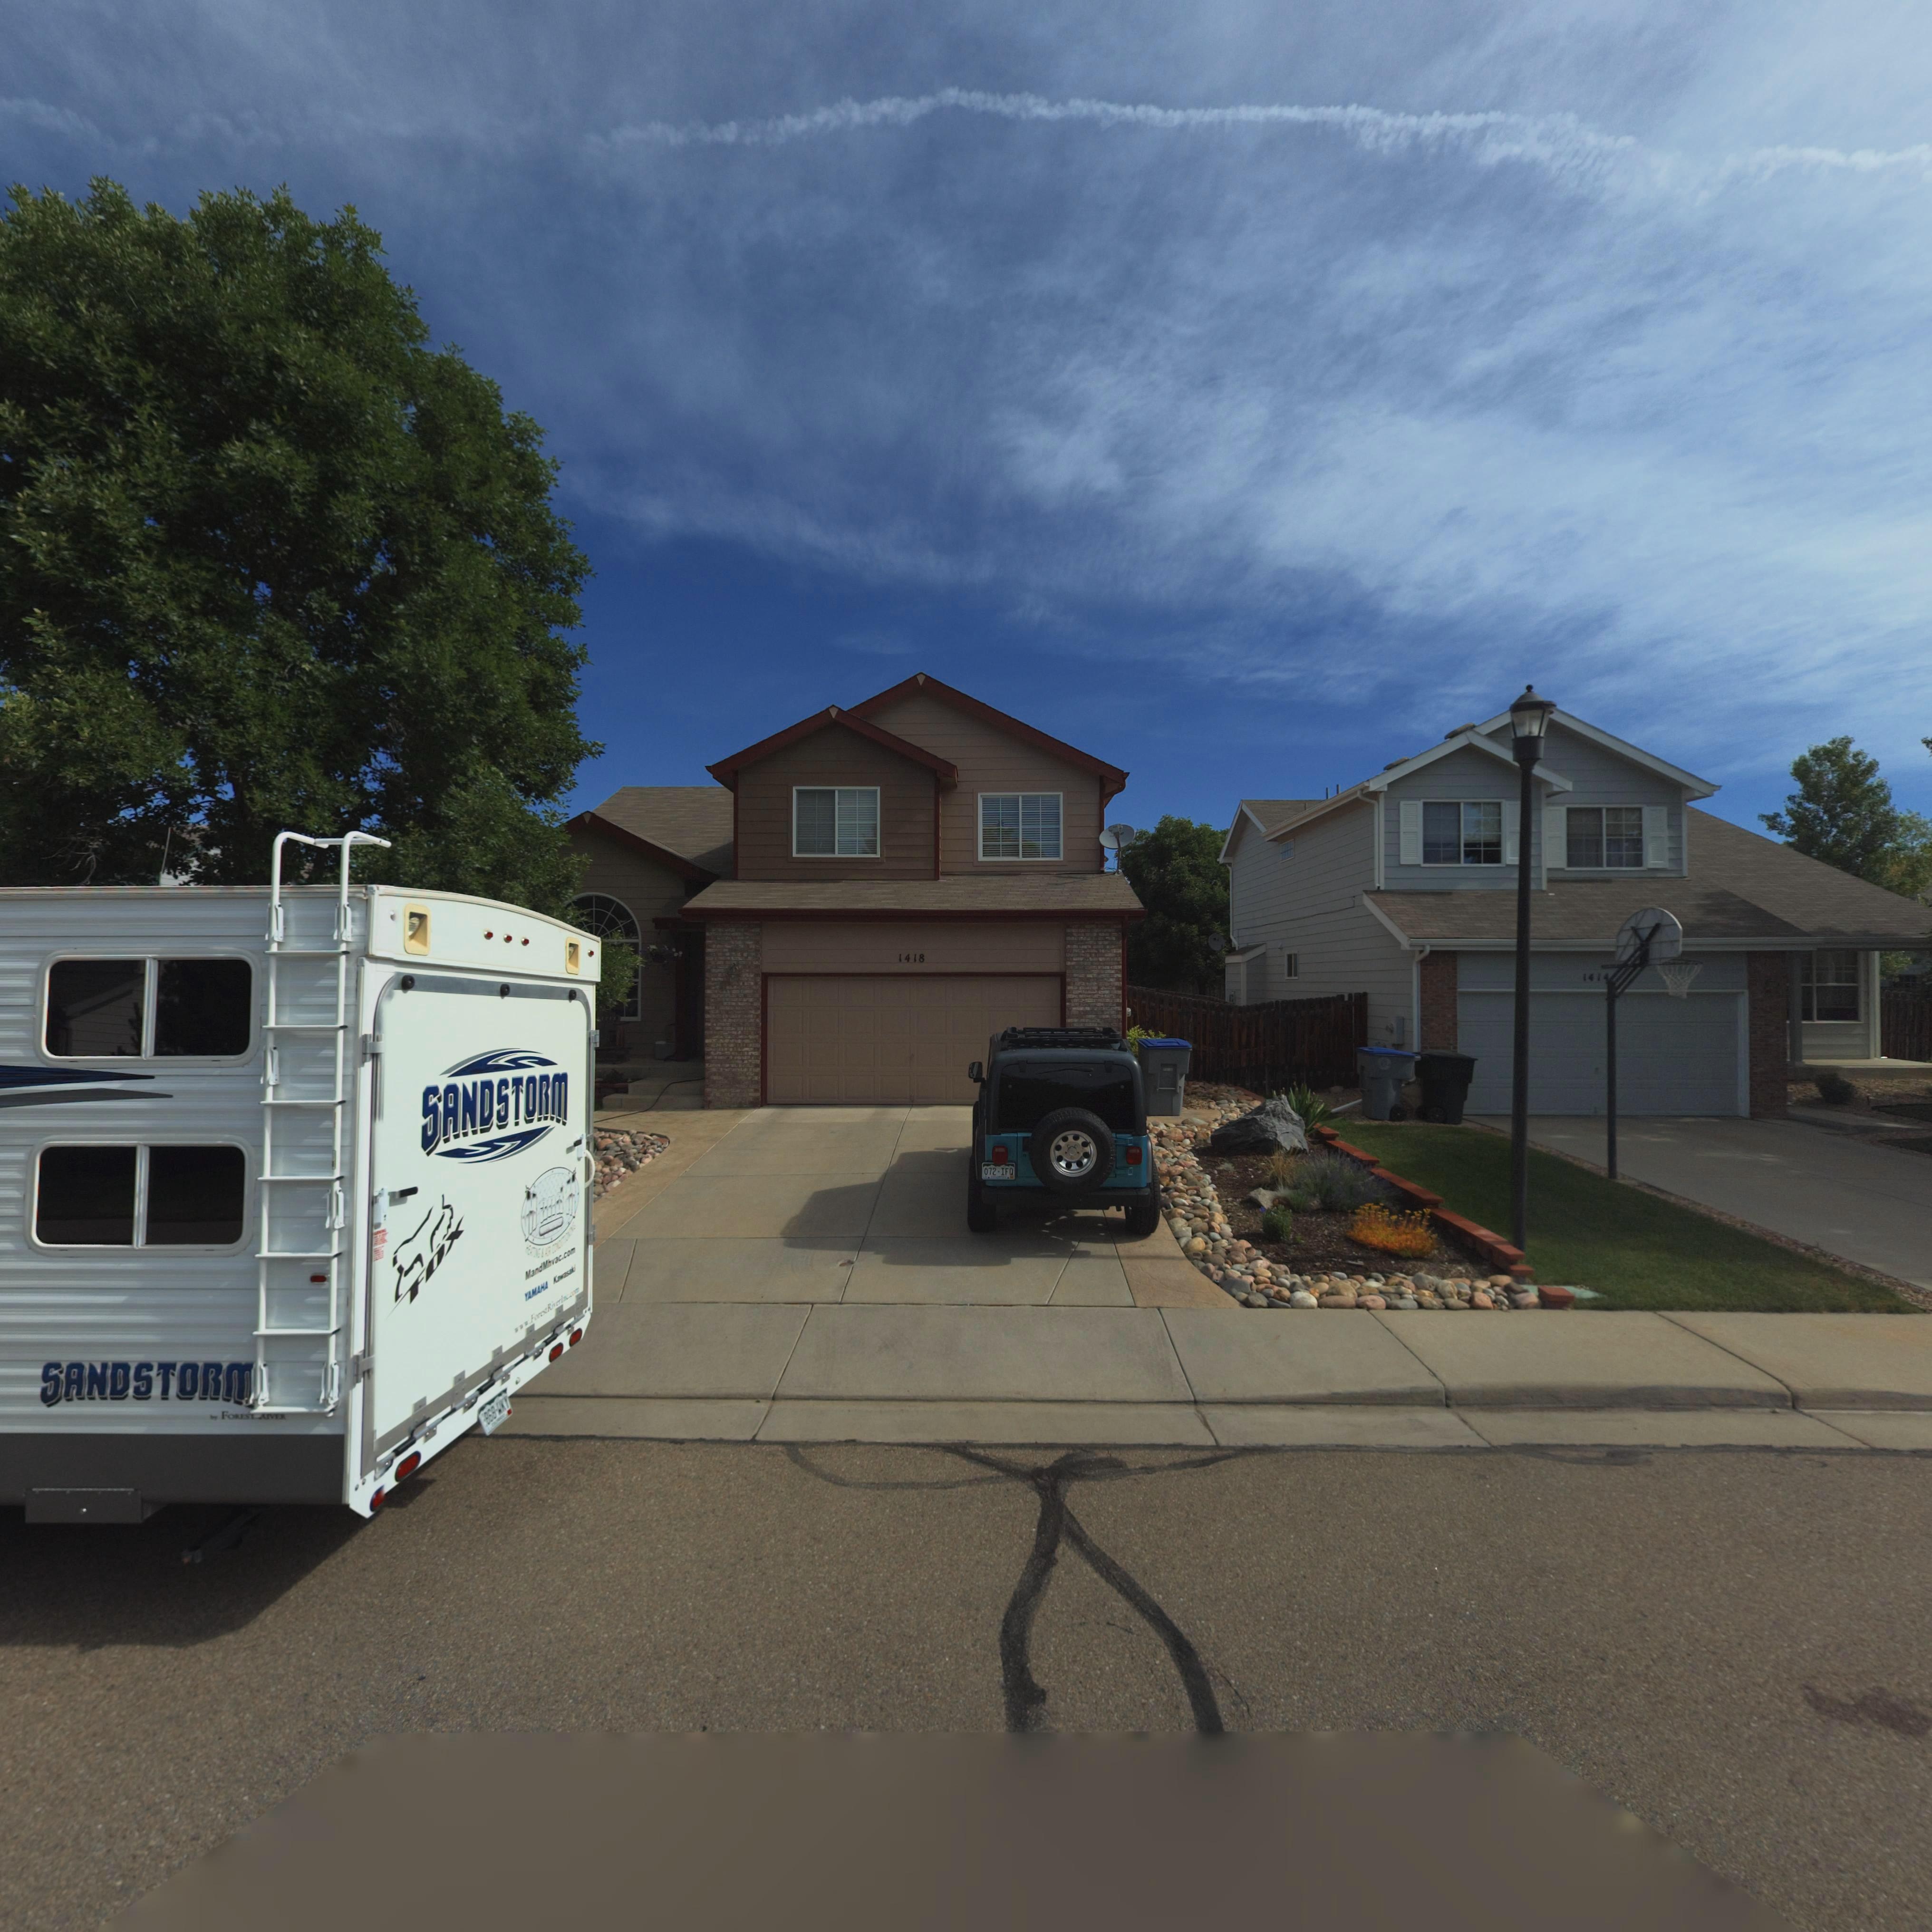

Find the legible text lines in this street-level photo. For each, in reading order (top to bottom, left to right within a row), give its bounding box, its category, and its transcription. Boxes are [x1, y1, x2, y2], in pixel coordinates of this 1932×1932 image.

[898, 953, 925, 962] StreetNumber: 1418
[1583, 972, 1609, 982] StreetNumber: 1414